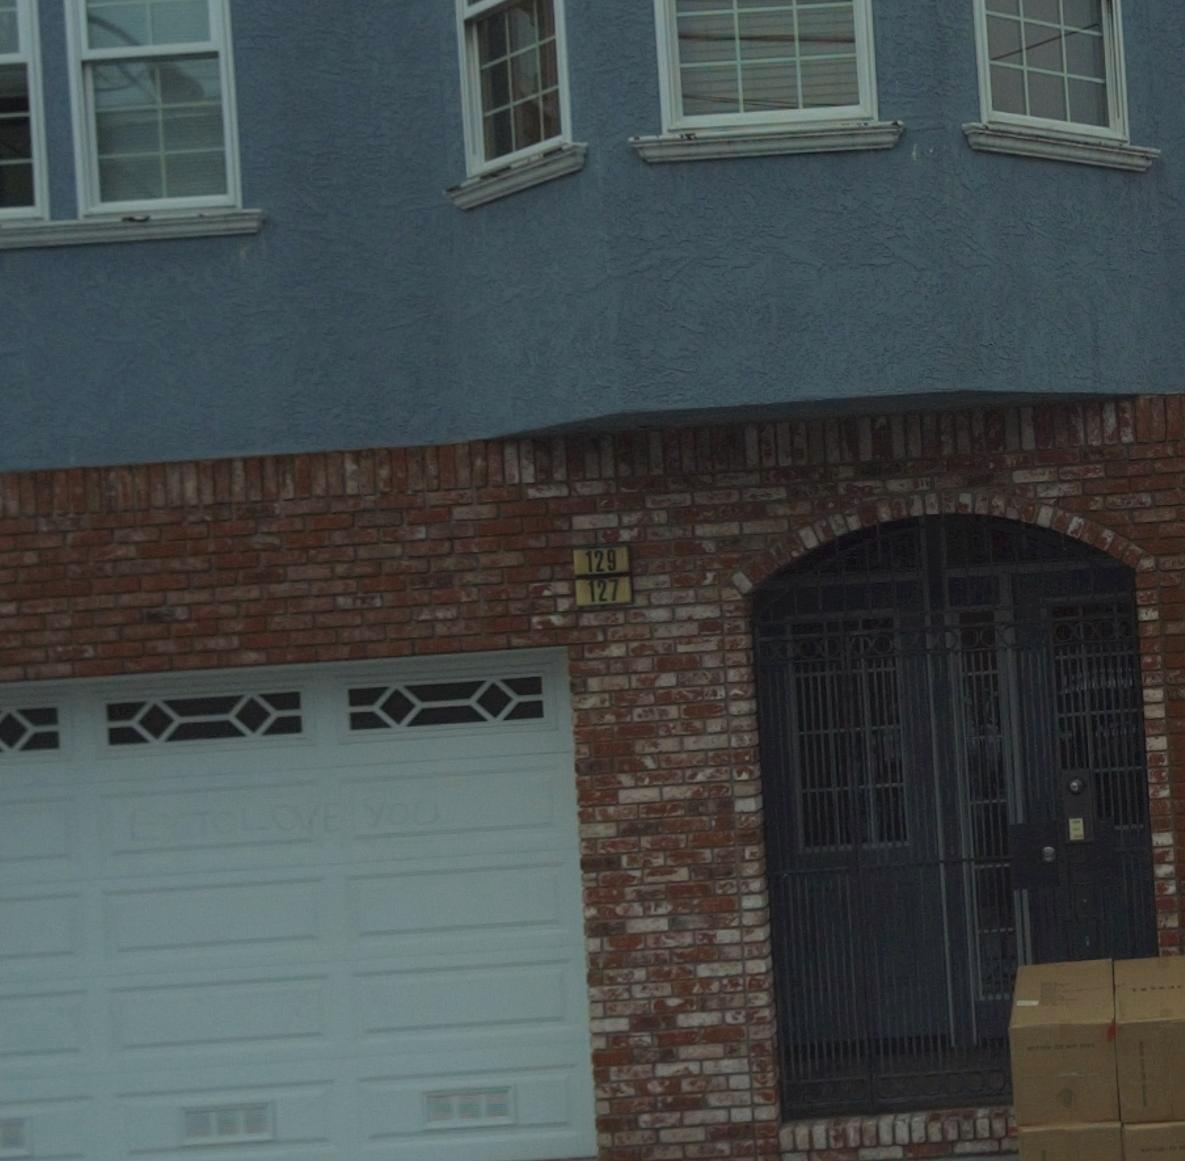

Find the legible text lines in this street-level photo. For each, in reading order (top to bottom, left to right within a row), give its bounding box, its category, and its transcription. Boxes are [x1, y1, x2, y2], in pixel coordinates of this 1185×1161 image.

[583, 548, 618, 573] StreetNumber: 129
[586, 577, 619, 603] StreetNumber: 127